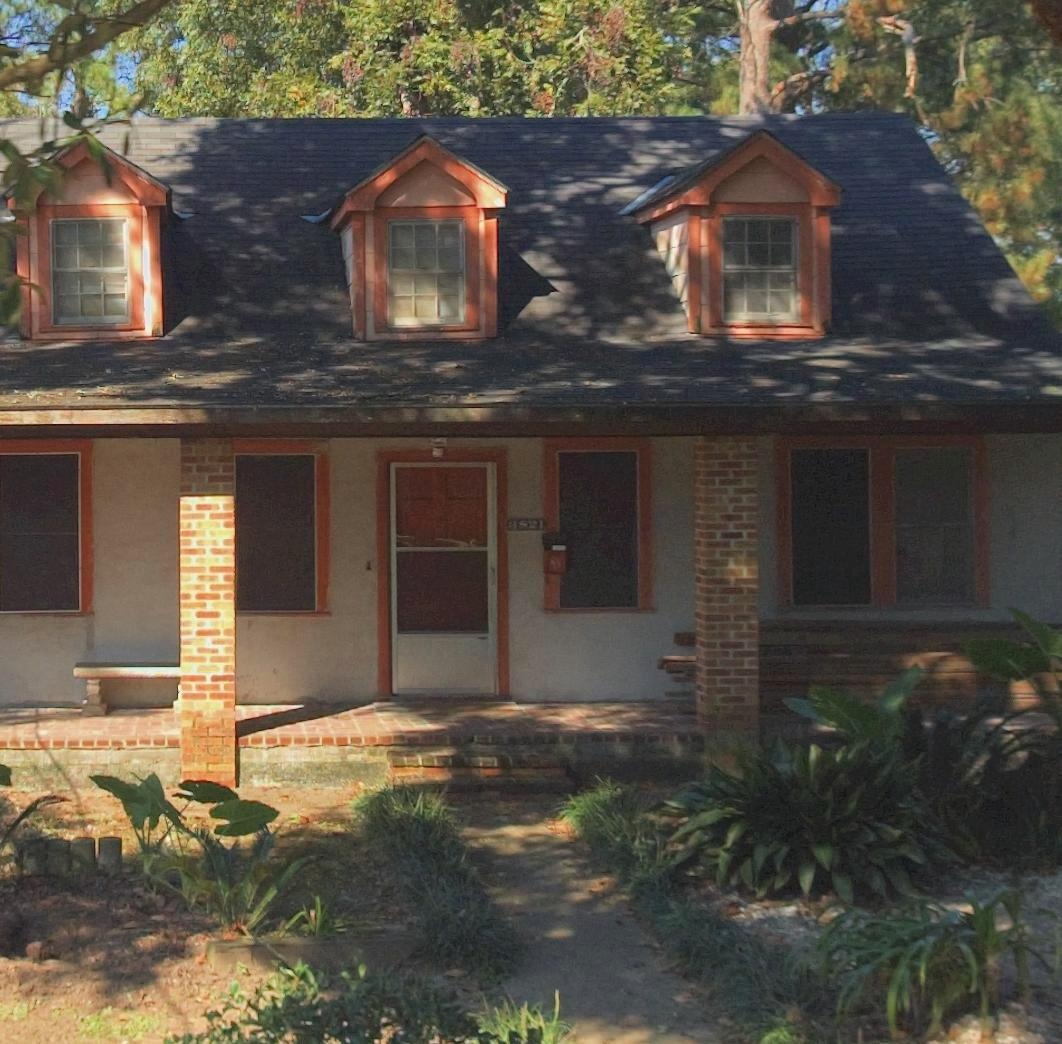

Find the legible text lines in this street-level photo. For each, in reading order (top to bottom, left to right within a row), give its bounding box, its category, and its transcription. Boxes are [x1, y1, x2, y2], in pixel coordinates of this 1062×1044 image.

[506, 519, 545, 531] StreetNumber: 8821